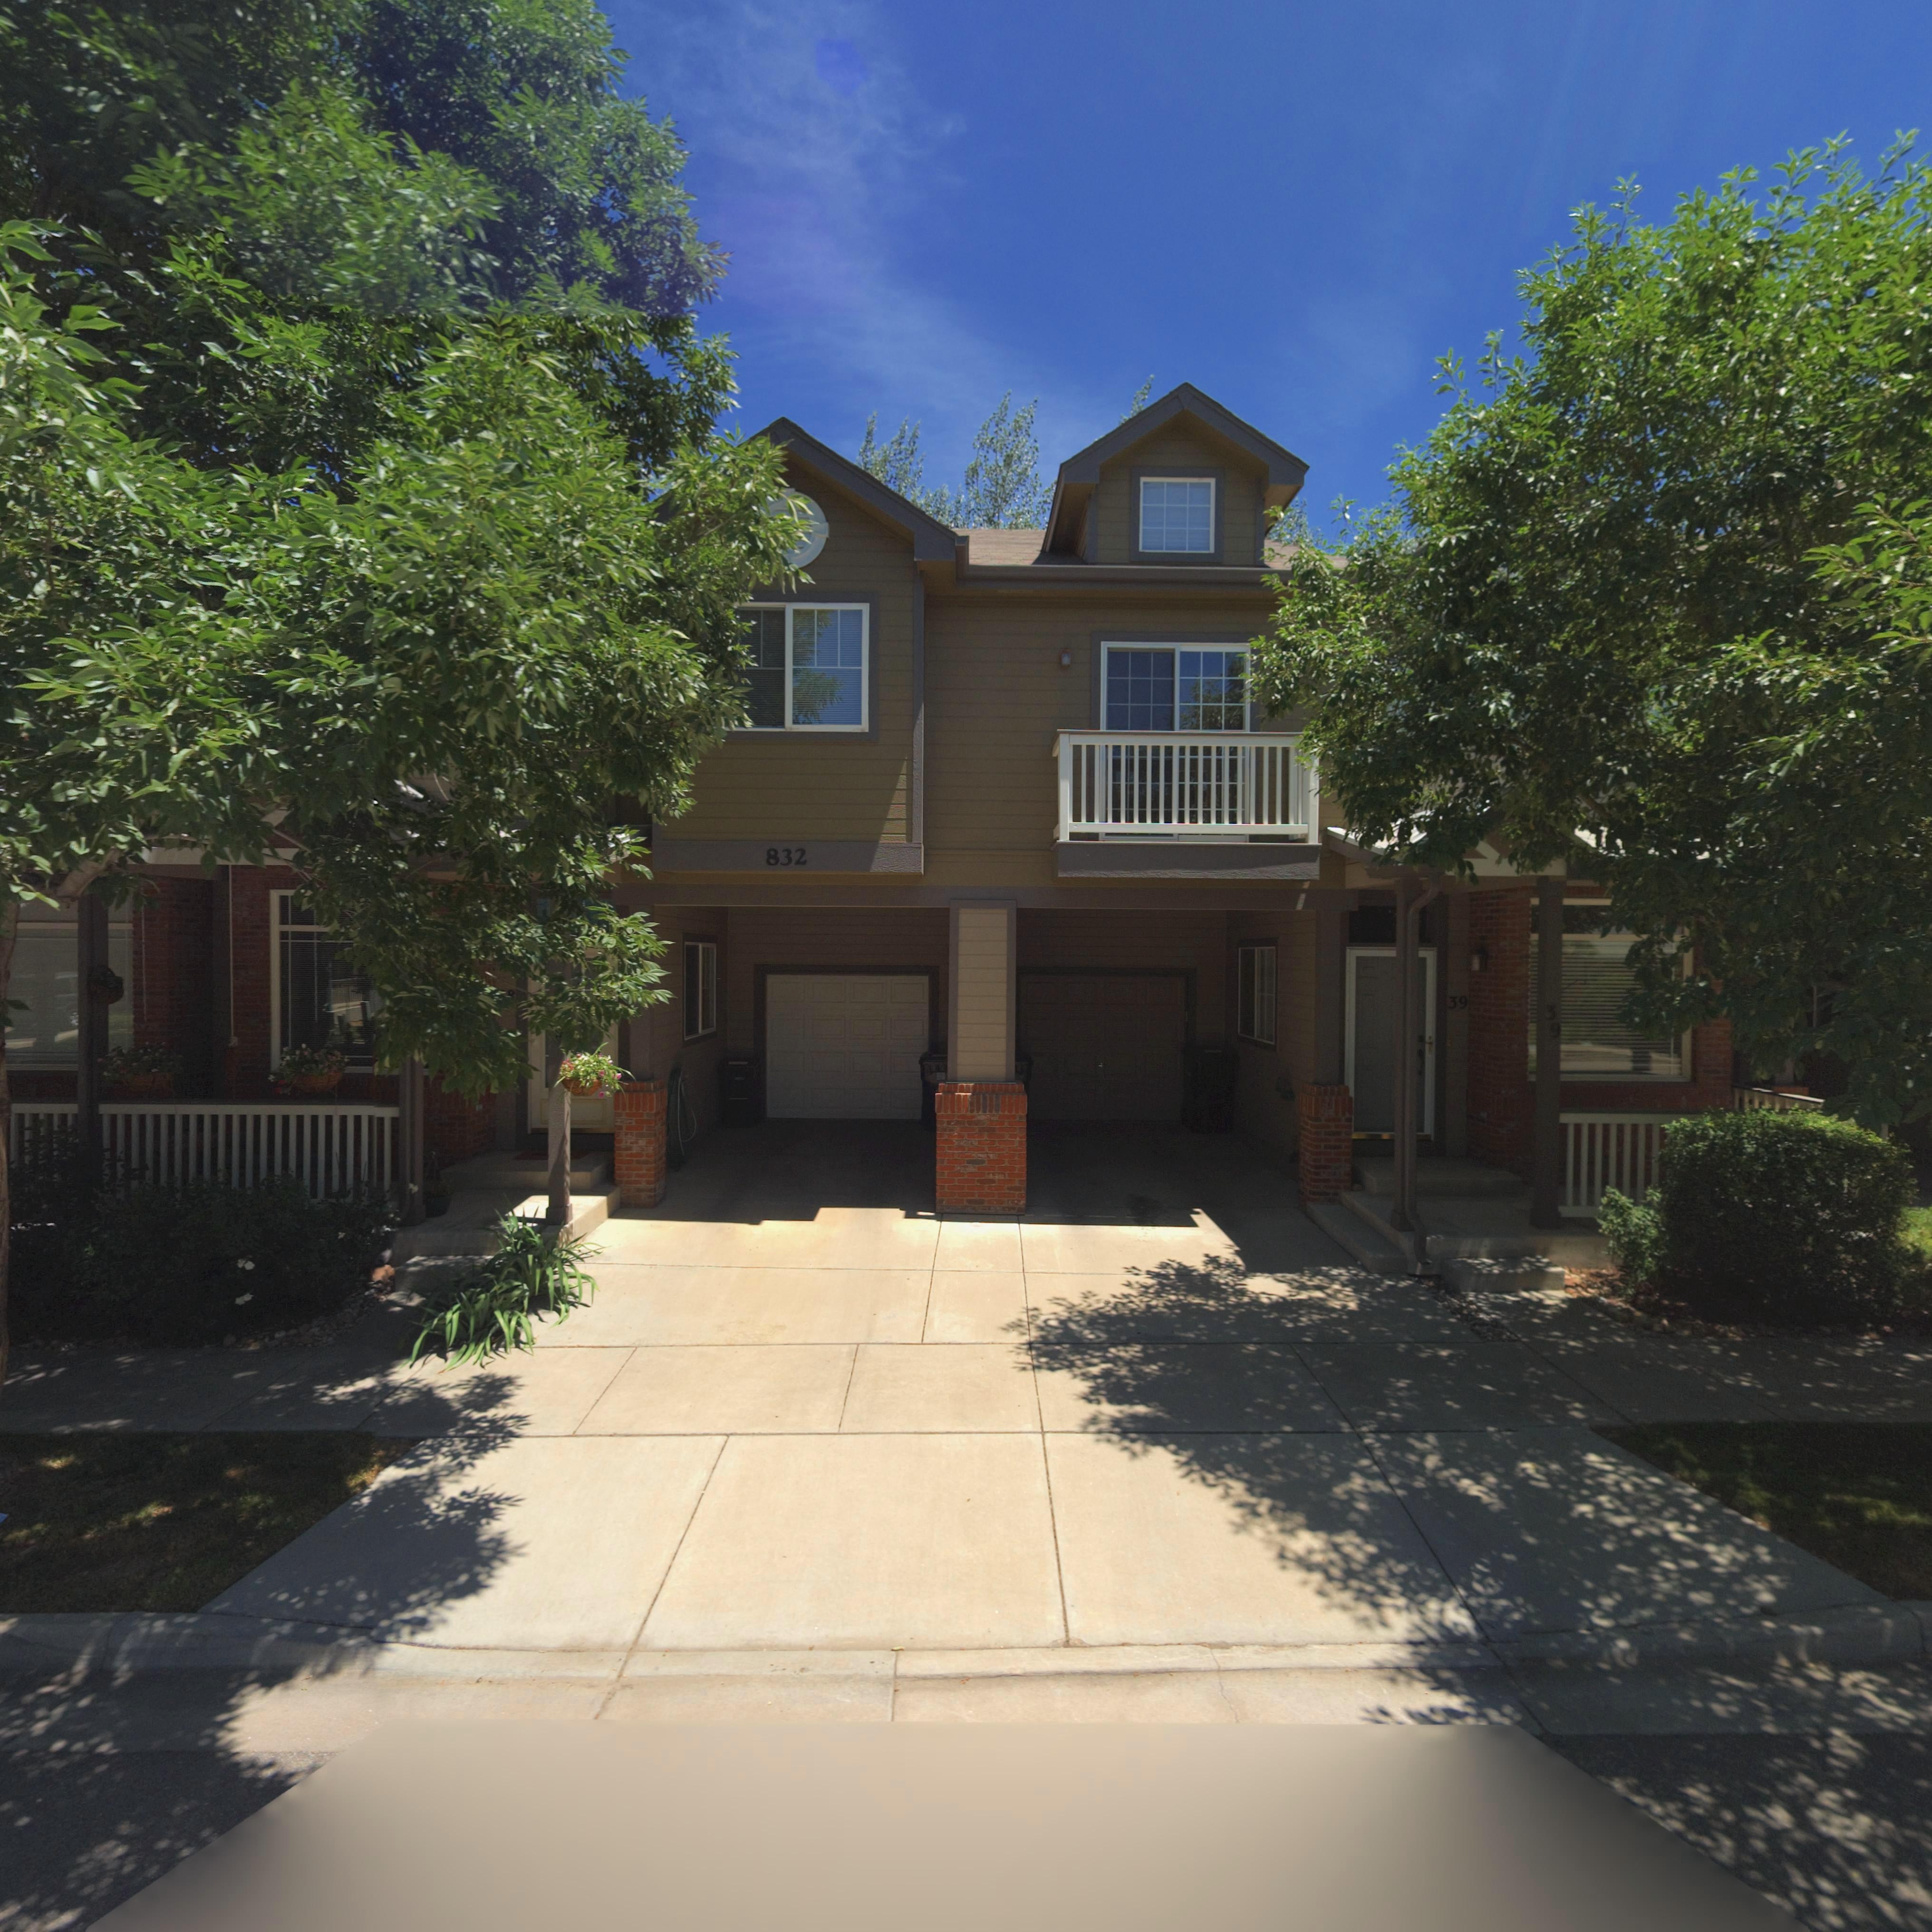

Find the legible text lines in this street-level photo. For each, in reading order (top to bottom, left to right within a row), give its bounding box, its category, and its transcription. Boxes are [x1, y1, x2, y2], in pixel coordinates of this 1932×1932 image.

[766, 847, 807, 866] StreetNumber: 832
[1448, 995, 1468, 1009] StreetNumber: 39
[1544, 1004, 1562, 1039] StreetNumber: 39